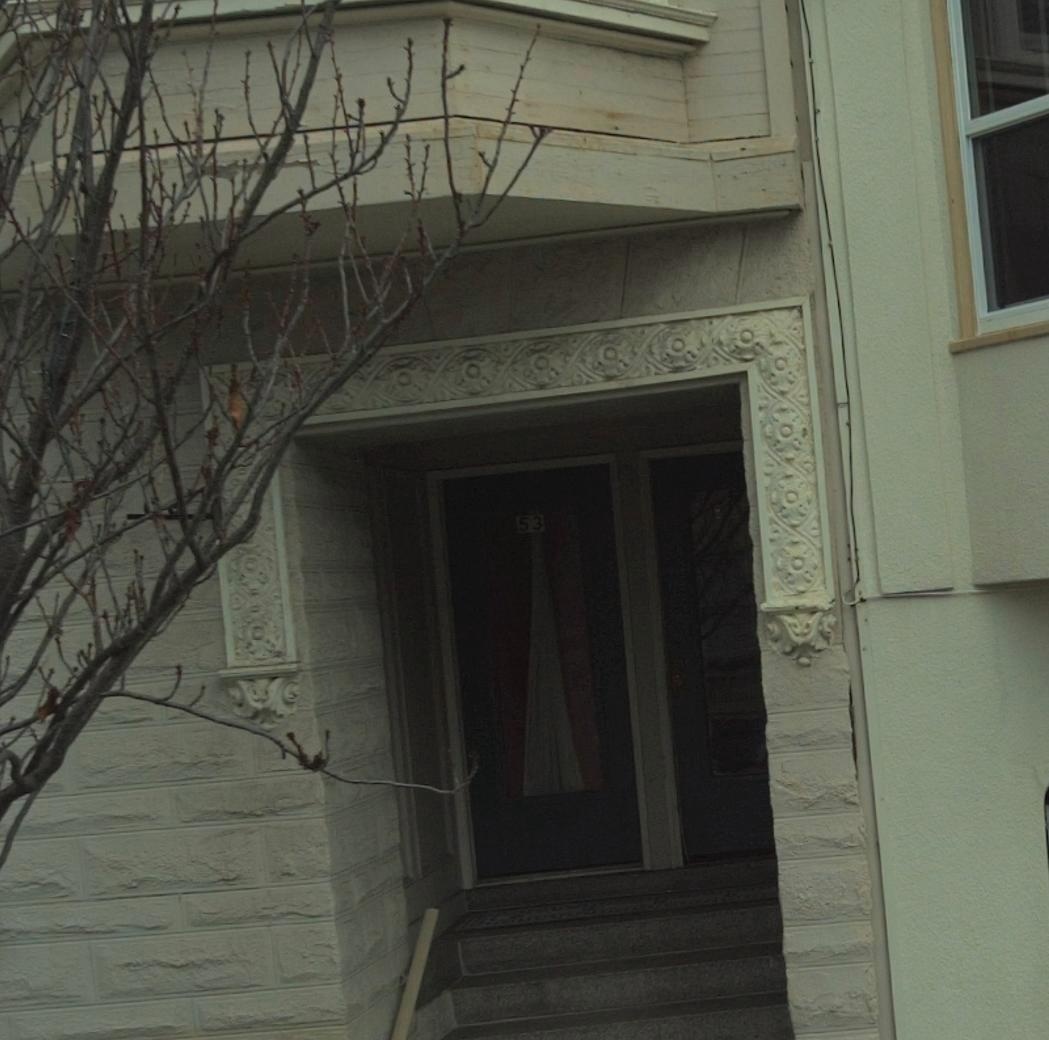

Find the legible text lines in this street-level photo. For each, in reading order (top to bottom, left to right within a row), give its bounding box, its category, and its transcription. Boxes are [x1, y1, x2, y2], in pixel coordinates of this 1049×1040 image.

[517, 516, 544, 532] StreetNumber: 53